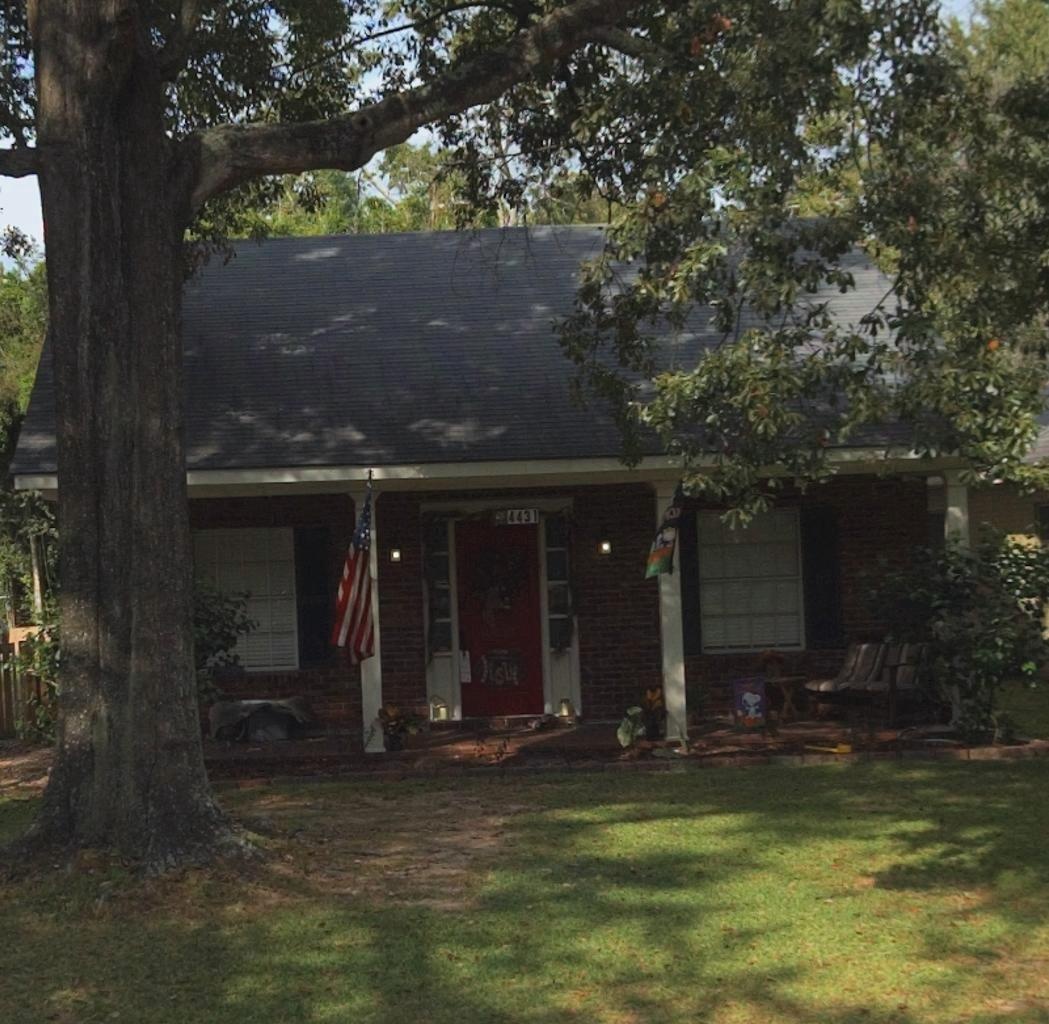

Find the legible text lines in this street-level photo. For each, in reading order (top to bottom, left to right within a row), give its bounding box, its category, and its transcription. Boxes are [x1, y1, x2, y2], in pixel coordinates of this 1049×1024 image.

[507, 508, 539, 524] StreetNumber: 4431